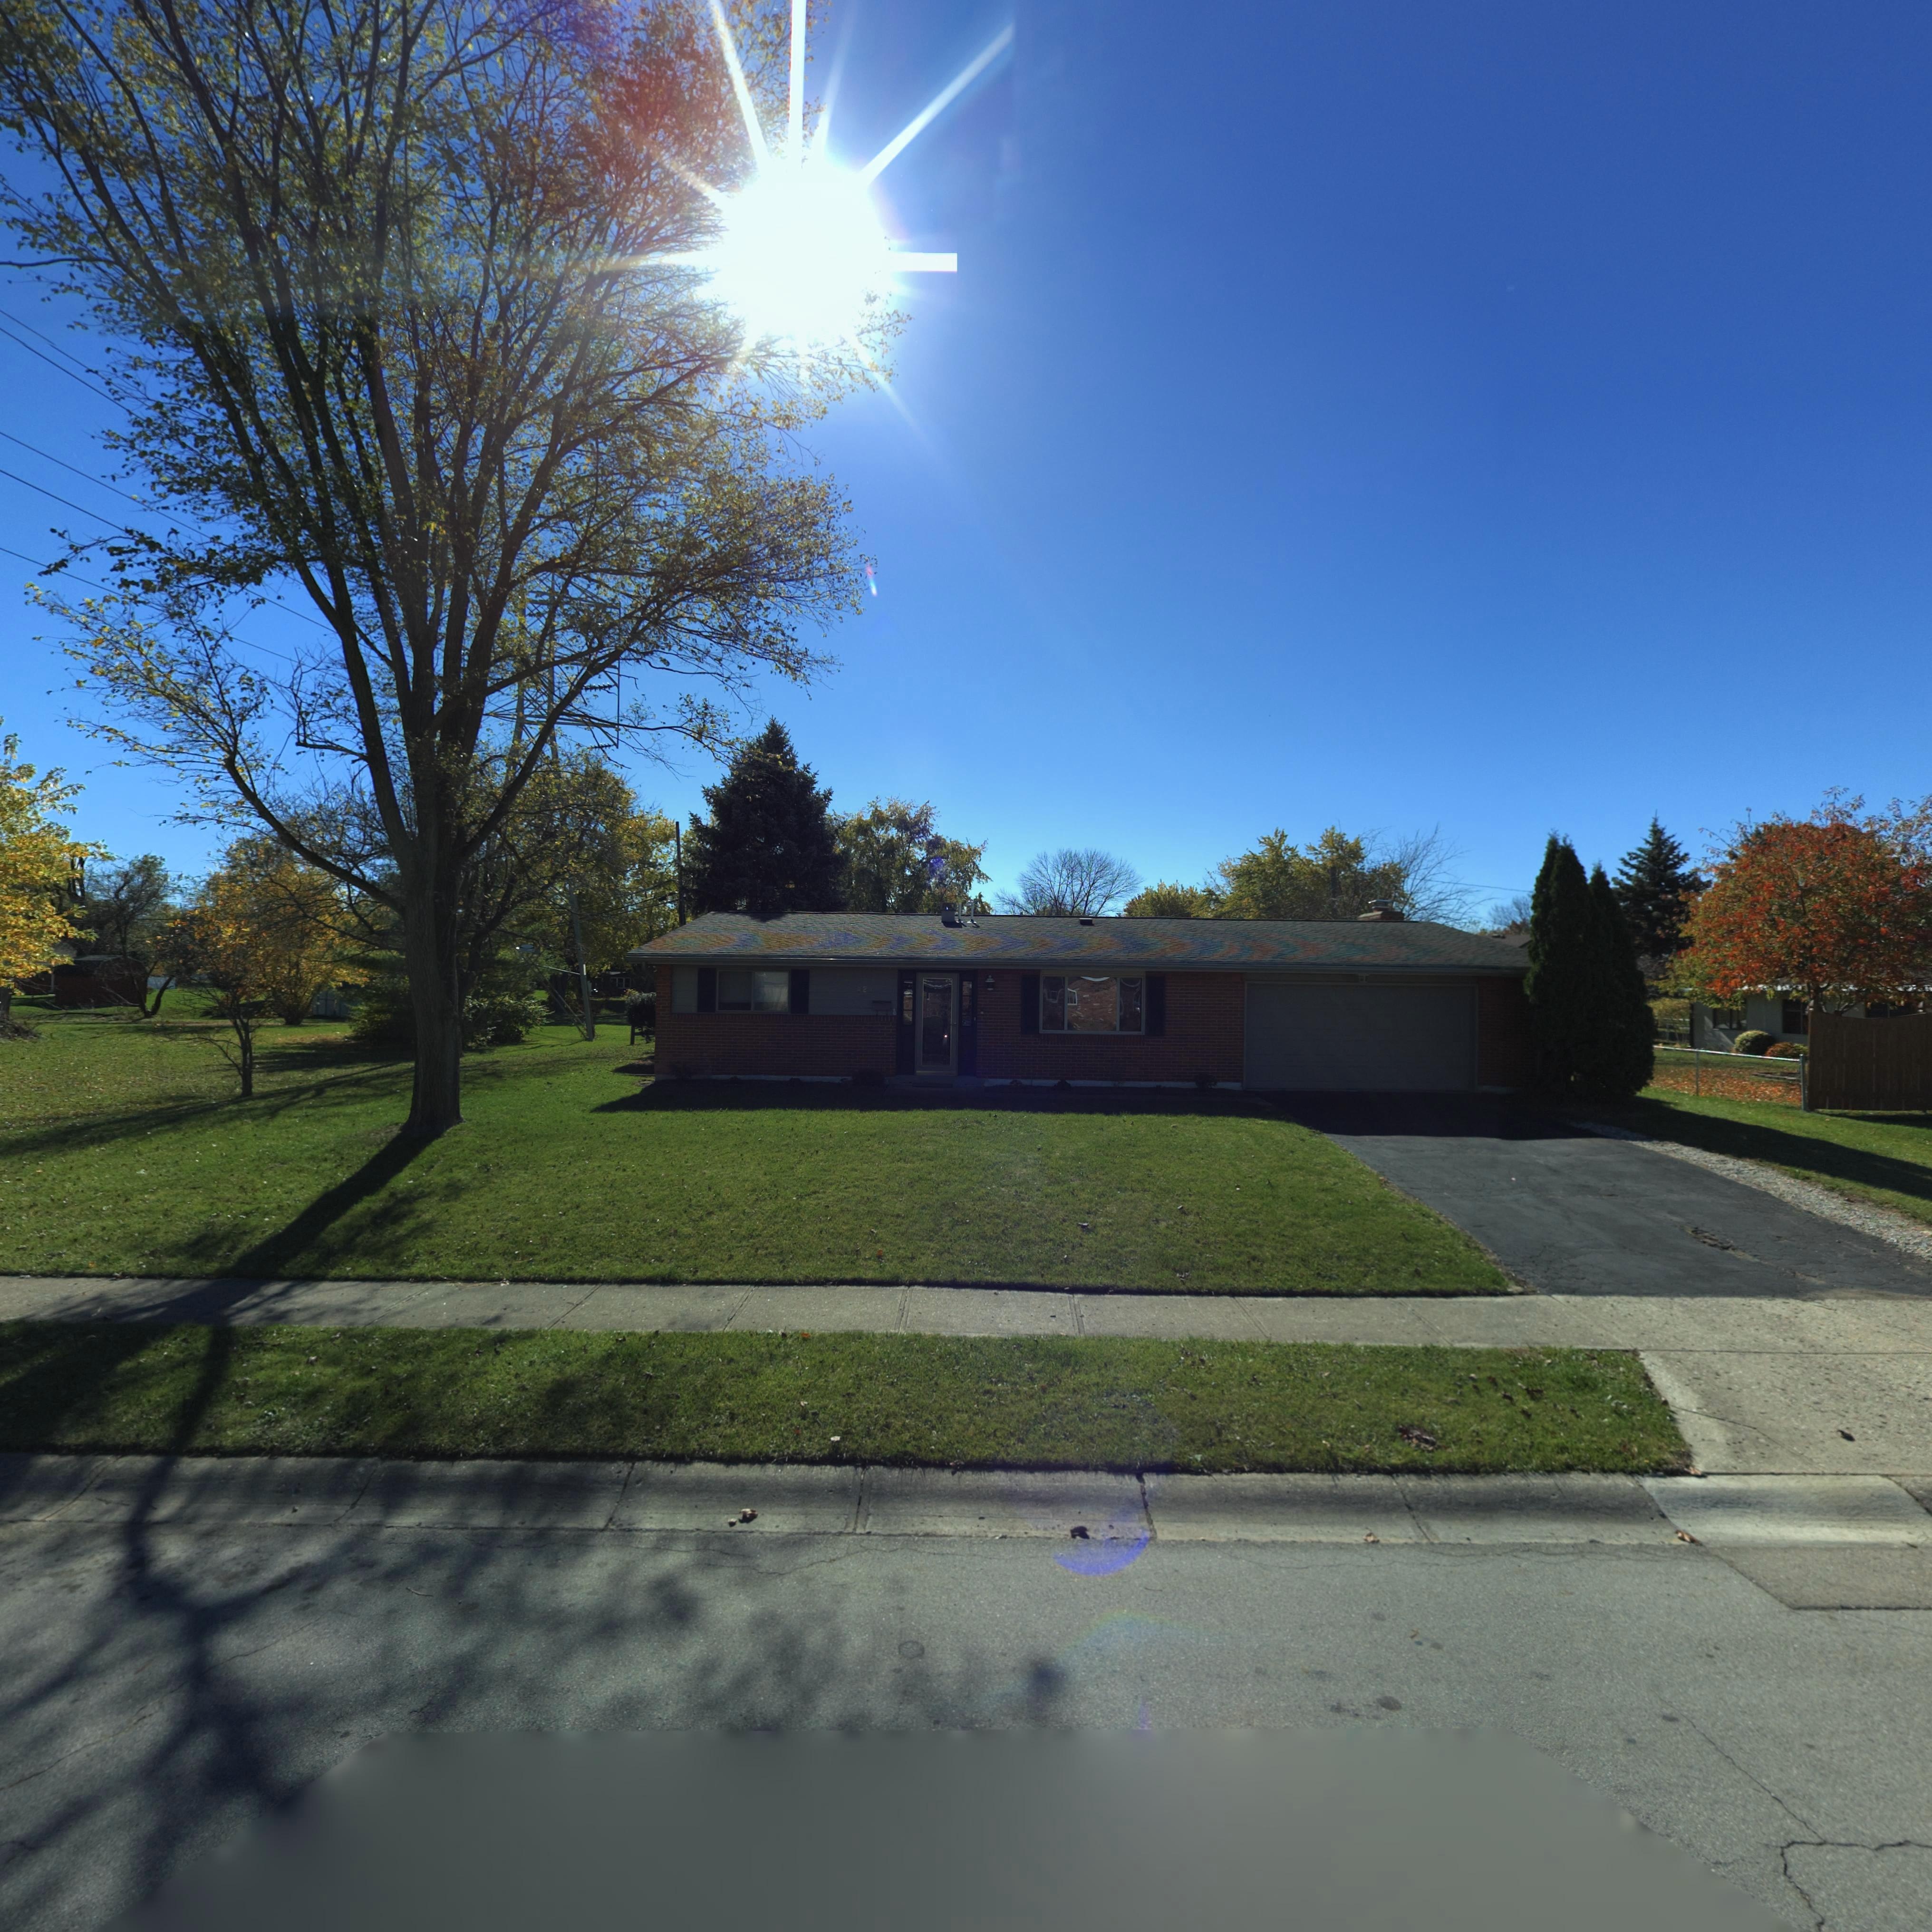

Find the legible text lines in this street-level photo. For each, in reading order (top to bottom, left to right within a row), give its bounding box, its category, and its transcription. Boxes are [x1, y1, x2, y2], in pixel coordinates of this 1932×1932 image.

[856, 985, 874, 993] StreetNumber: 424